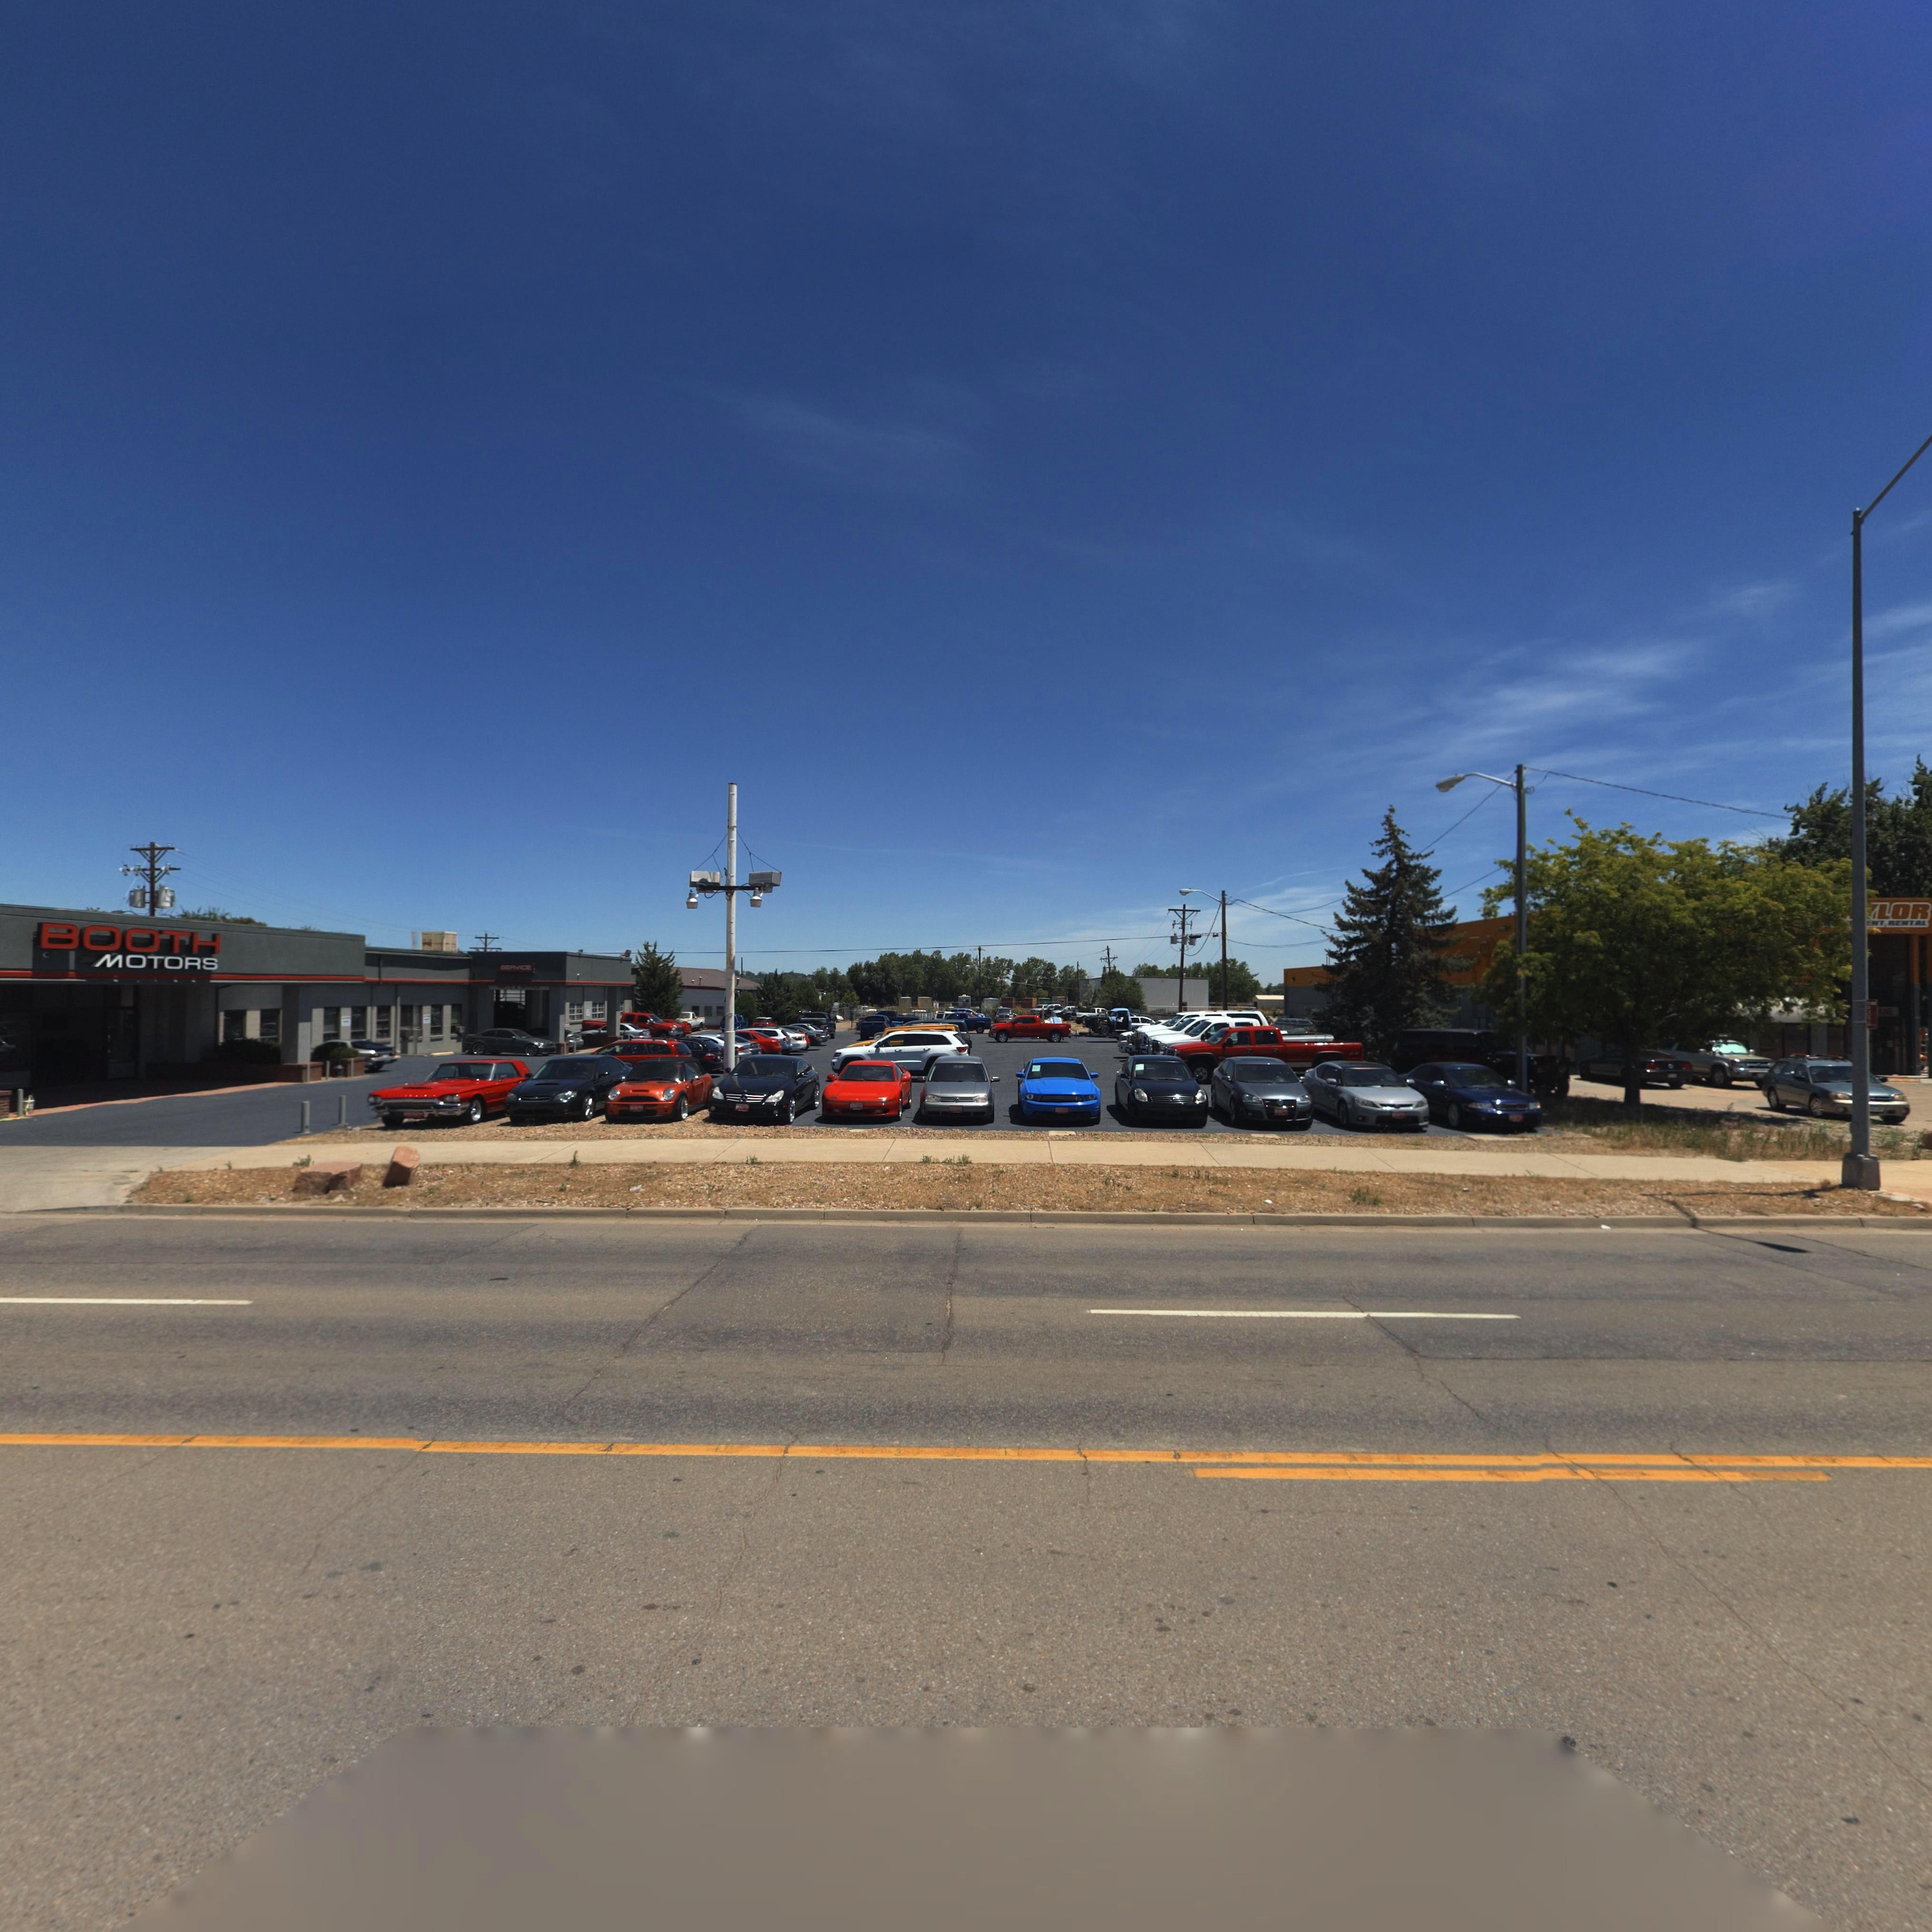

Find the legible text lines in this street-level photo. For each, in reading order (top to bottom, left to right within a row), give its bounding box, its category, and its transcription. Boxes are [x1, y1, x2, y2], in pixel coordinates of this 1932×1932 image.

[1875, 902, 1931, 920] BusinessName: LOR
[38, 921, 221, 955] BusinessName: BOOTH
[93, 953, 218, 971] BusinessName: MOTORS